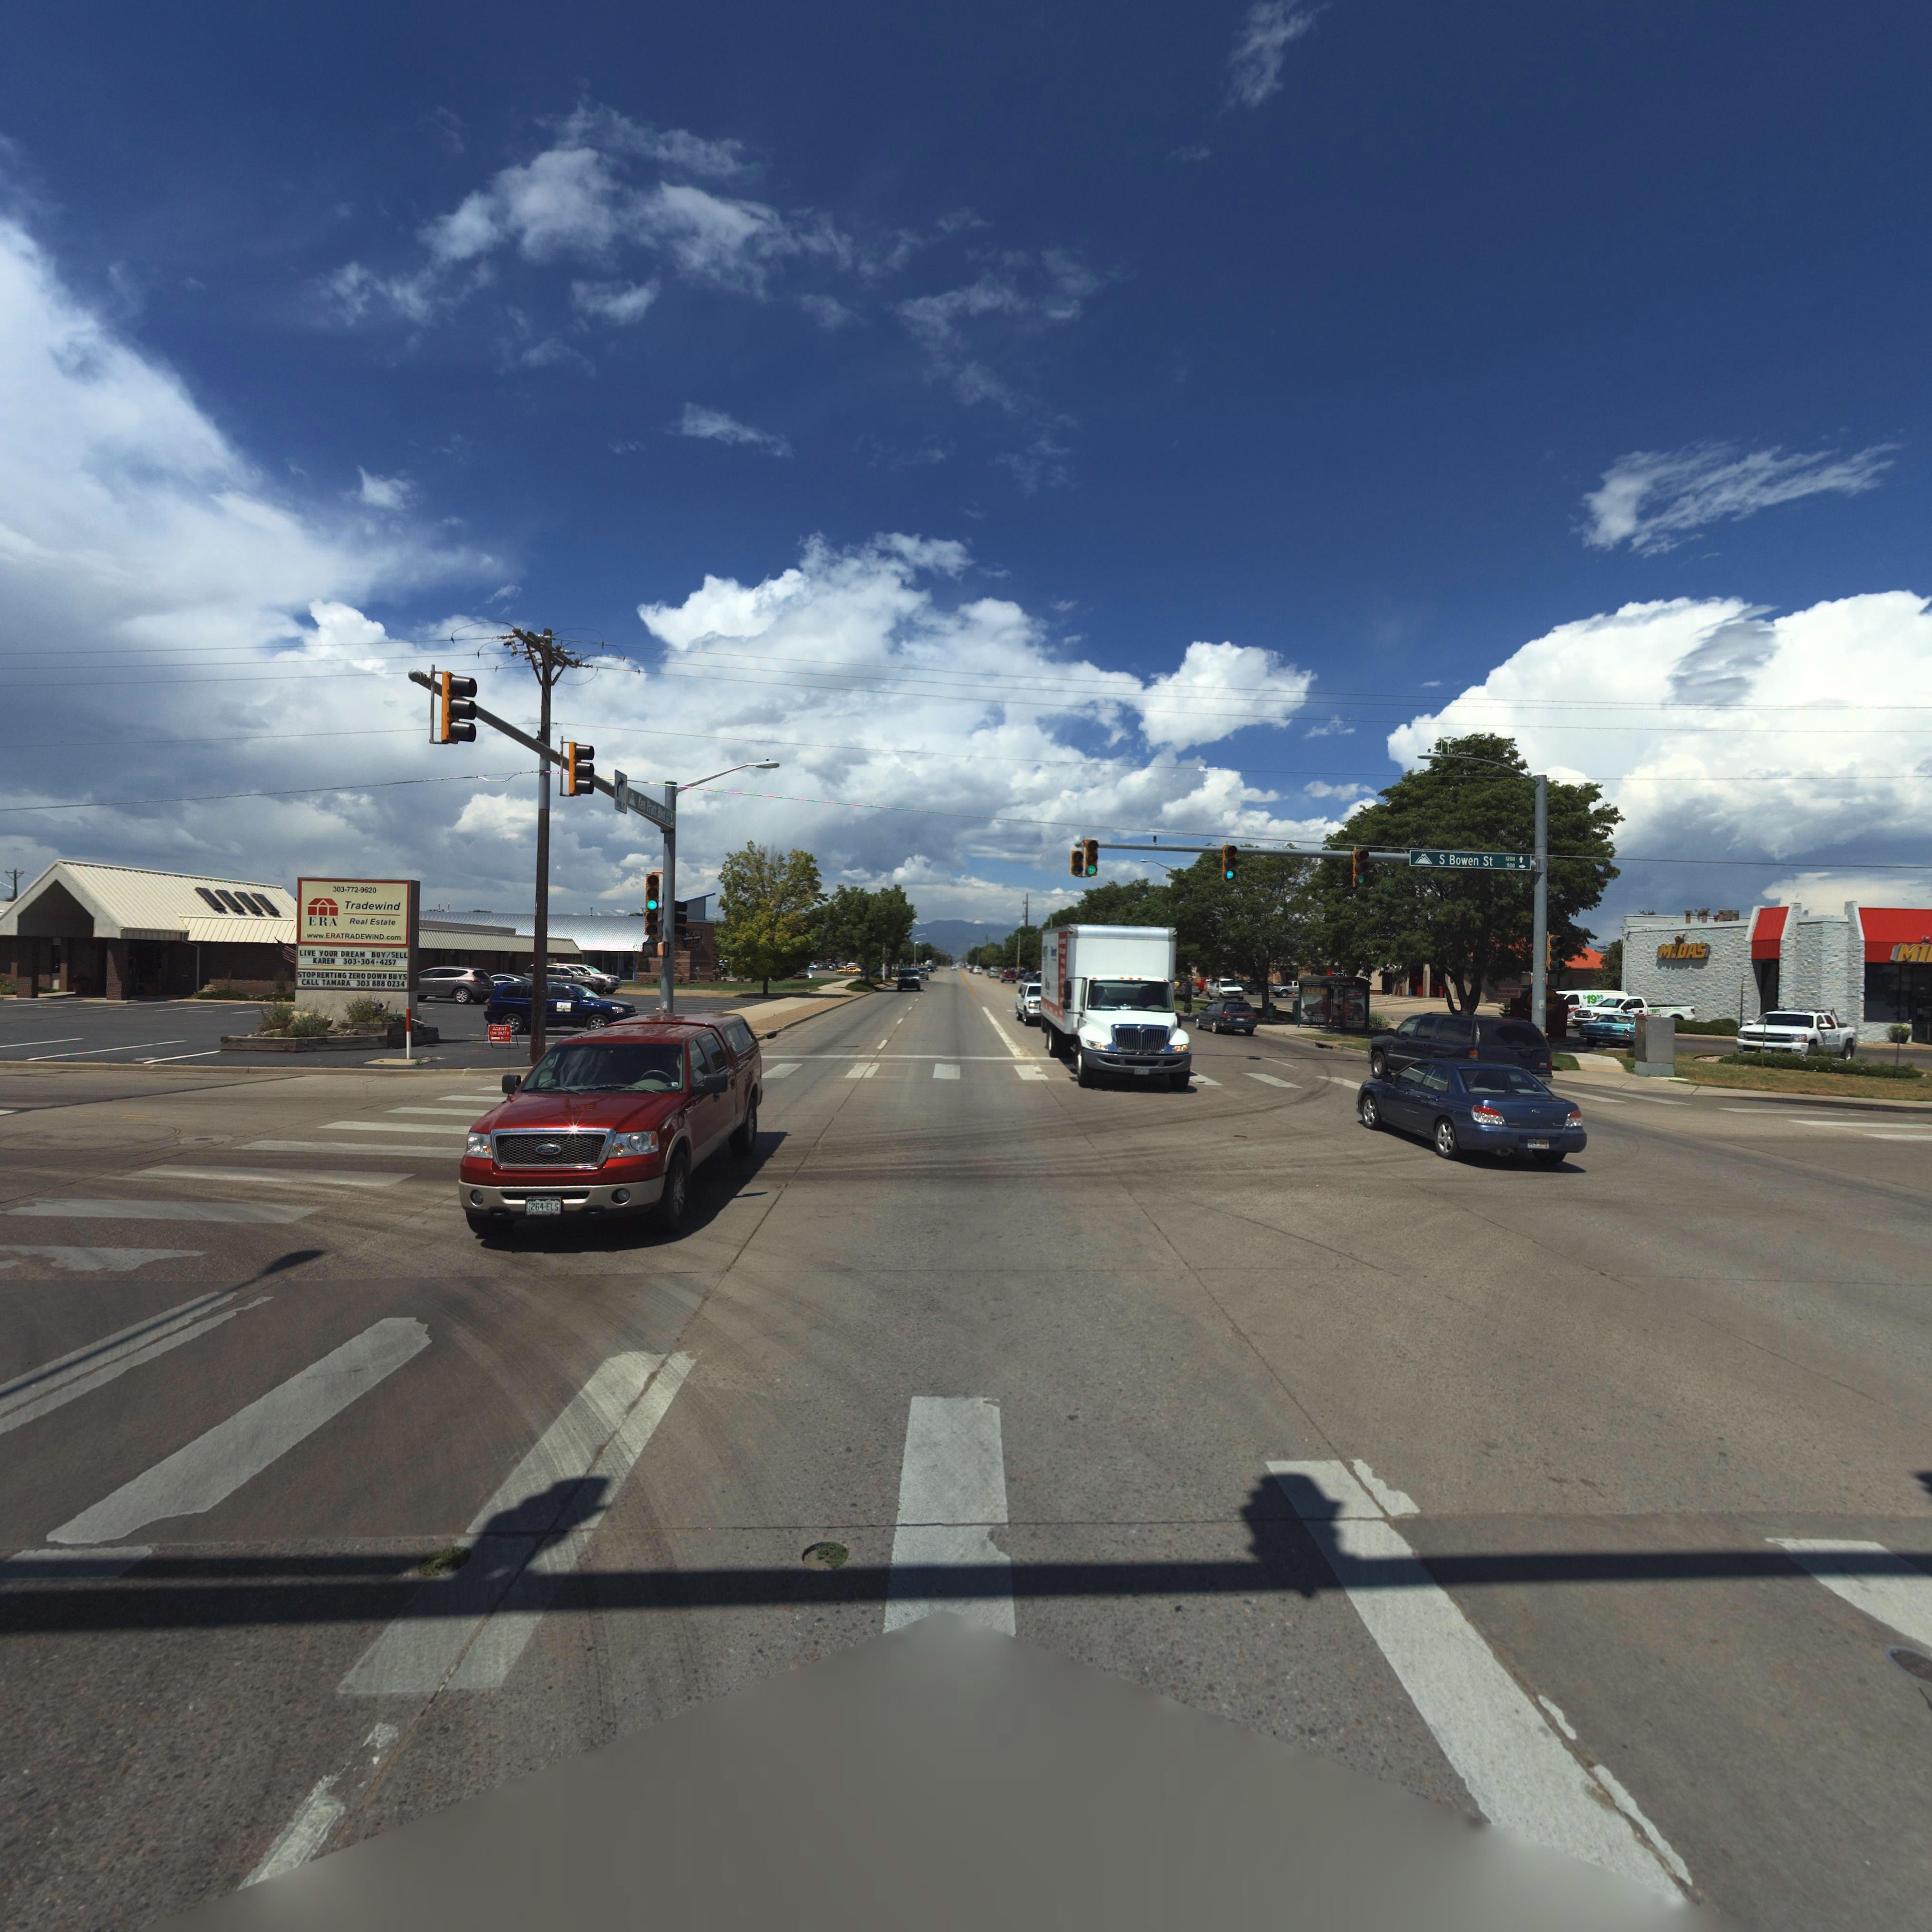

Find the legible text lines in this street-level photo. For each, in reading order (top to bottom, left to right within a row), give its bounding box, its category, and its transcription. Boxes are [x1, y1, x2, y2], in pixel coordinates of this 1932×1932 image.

[637, 794, 666, 821] StreetName: Ken Pratt Bl*d
[1439, 853, 1493, 866] StreetName: S Bowen St
[1505, 856, 1515, 861] StreetNumberRange: 1200
[1506, 862, 1526, 869] StreetNumberRange: 500->
[345, 900, 401, 910] BusinessName: Tradewind
[308, 916, 338, 927] BusinessName: ERA
[348, 917, 396, 926] BusinessName: Real Estate
[1657, 936, 1707, 959] BusinessName: MiDAS
[1894, 934, 1932, 963] BusinessName: Mi
[1528, 995, 1560, 1004] BusinessName: M**AS